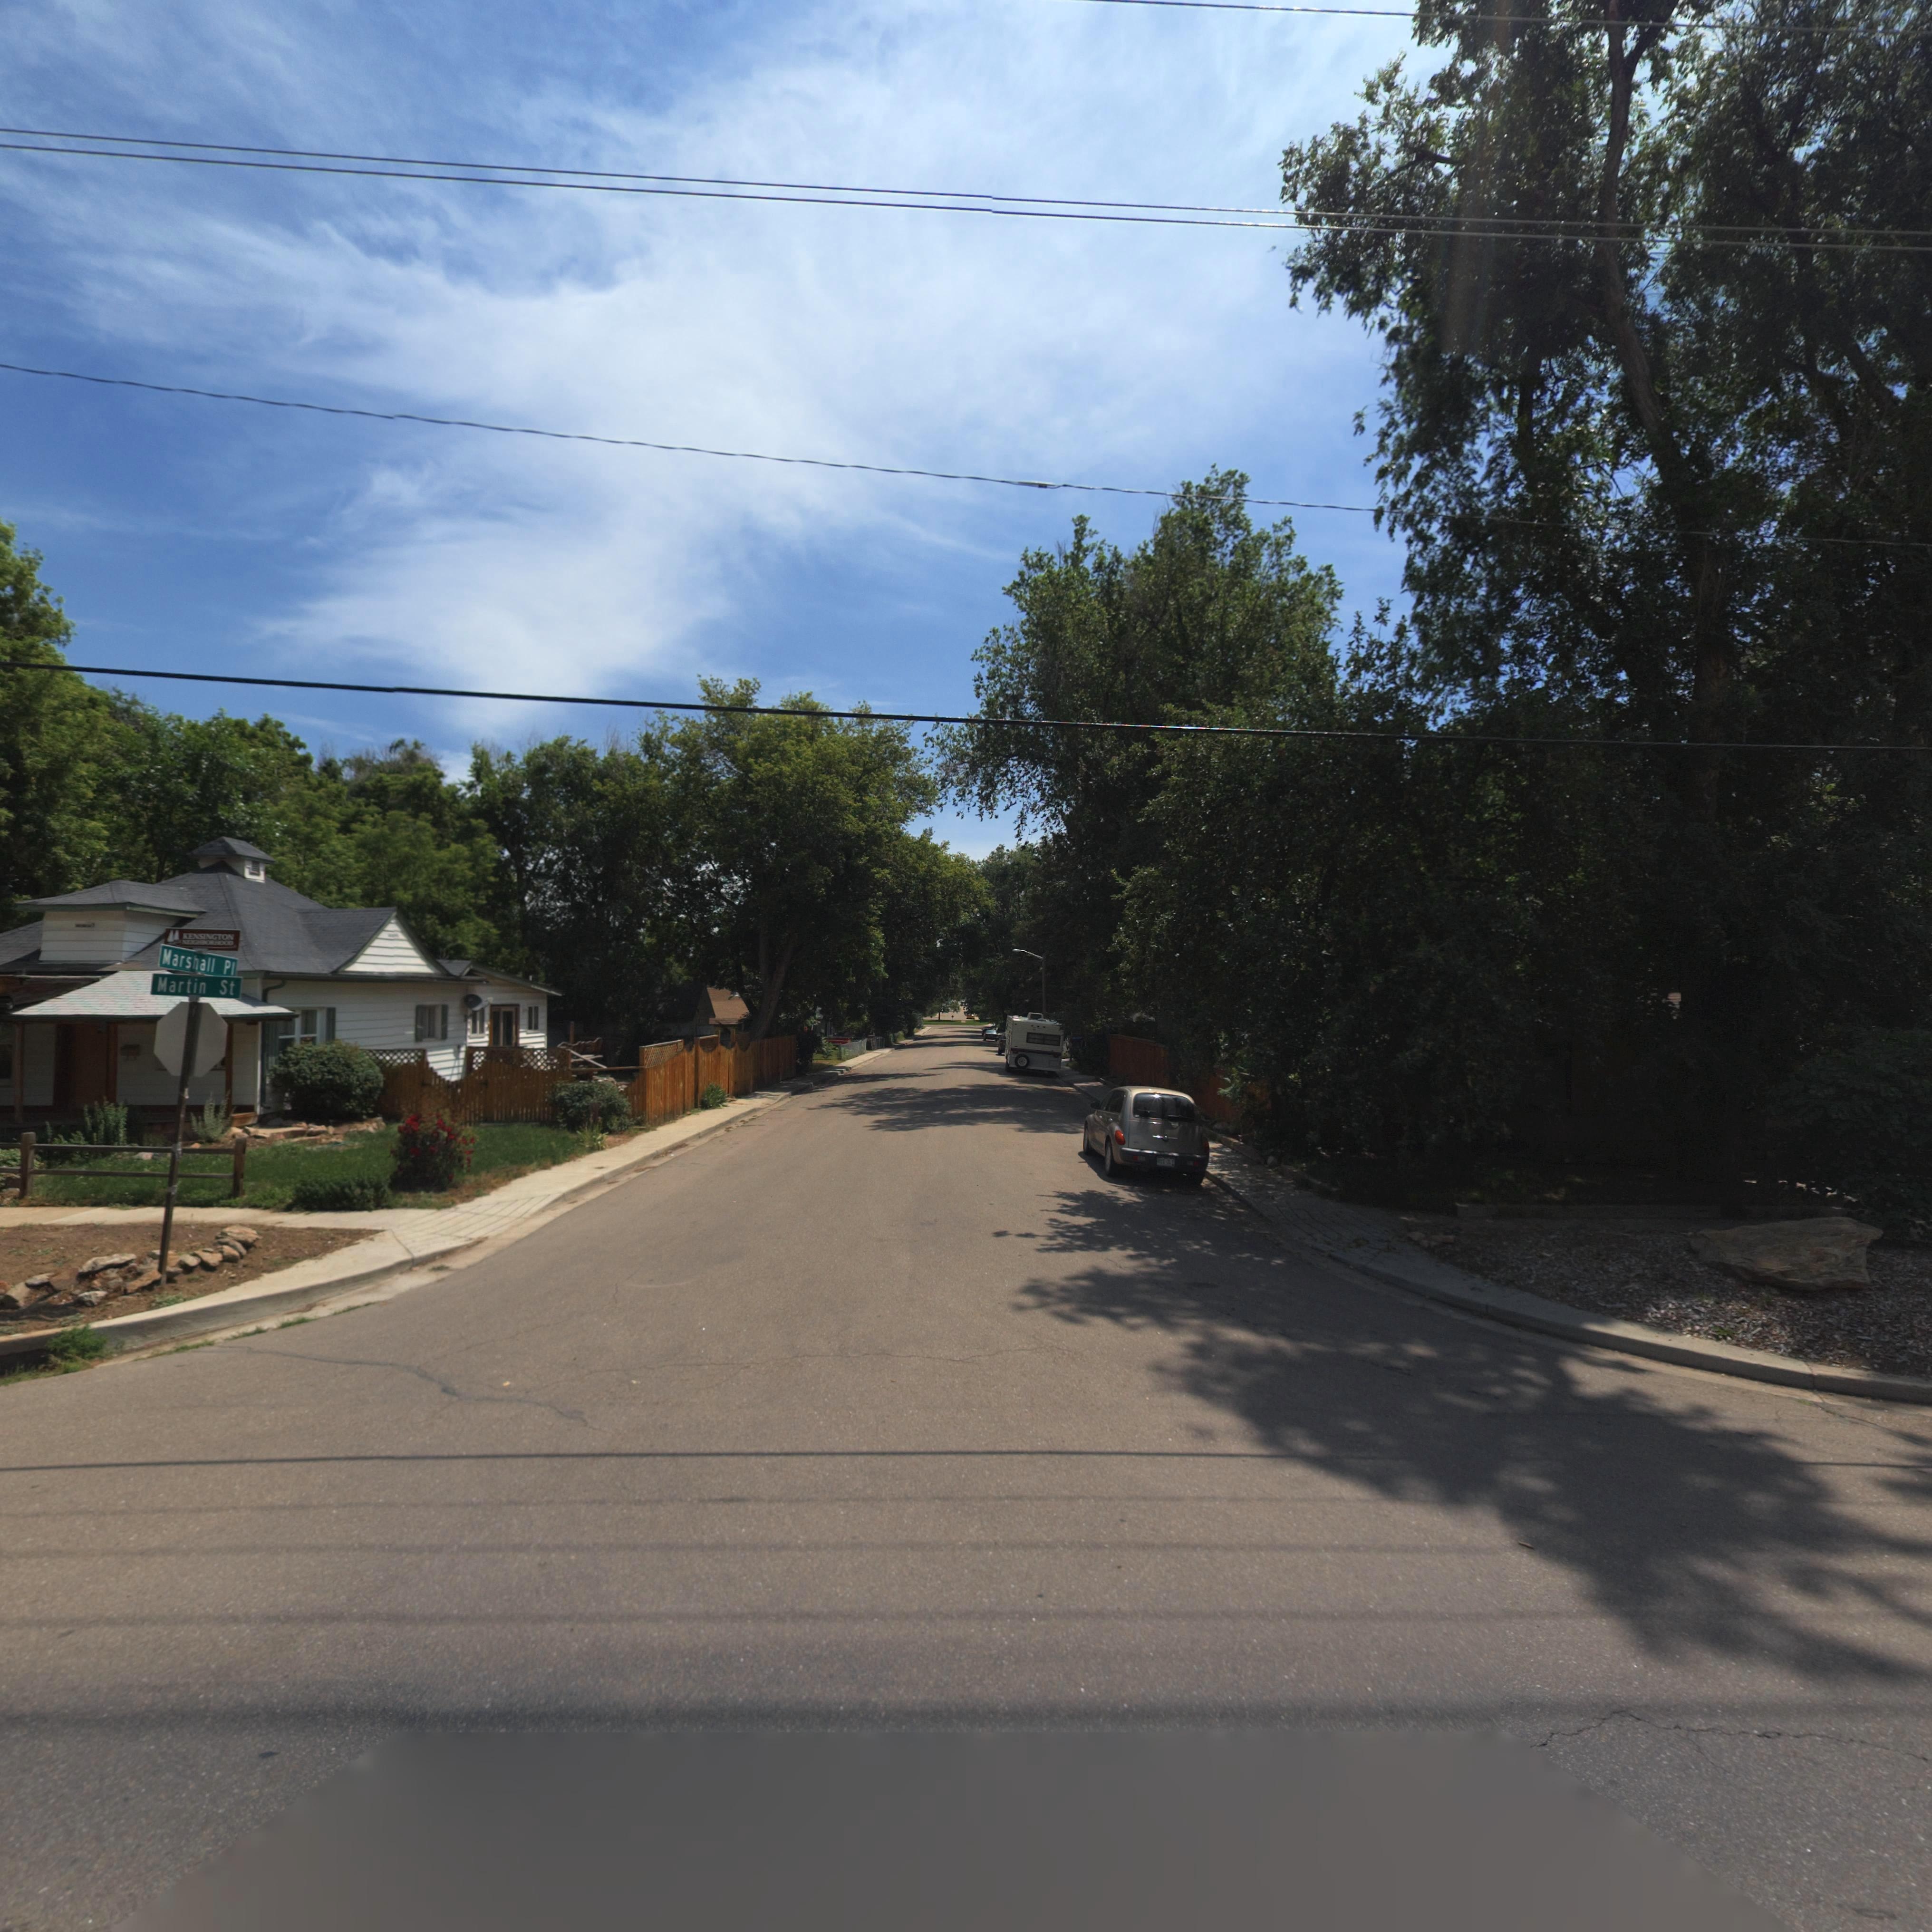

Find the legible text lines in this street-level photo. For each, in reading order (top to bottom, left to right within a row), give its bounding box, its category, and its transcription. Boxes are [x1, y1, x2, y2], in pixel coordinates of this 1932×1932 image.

[161, 948, 235, 976] StreetName: Marshall Pl
[156, 976, 235, 995] StreetName: Martin St 